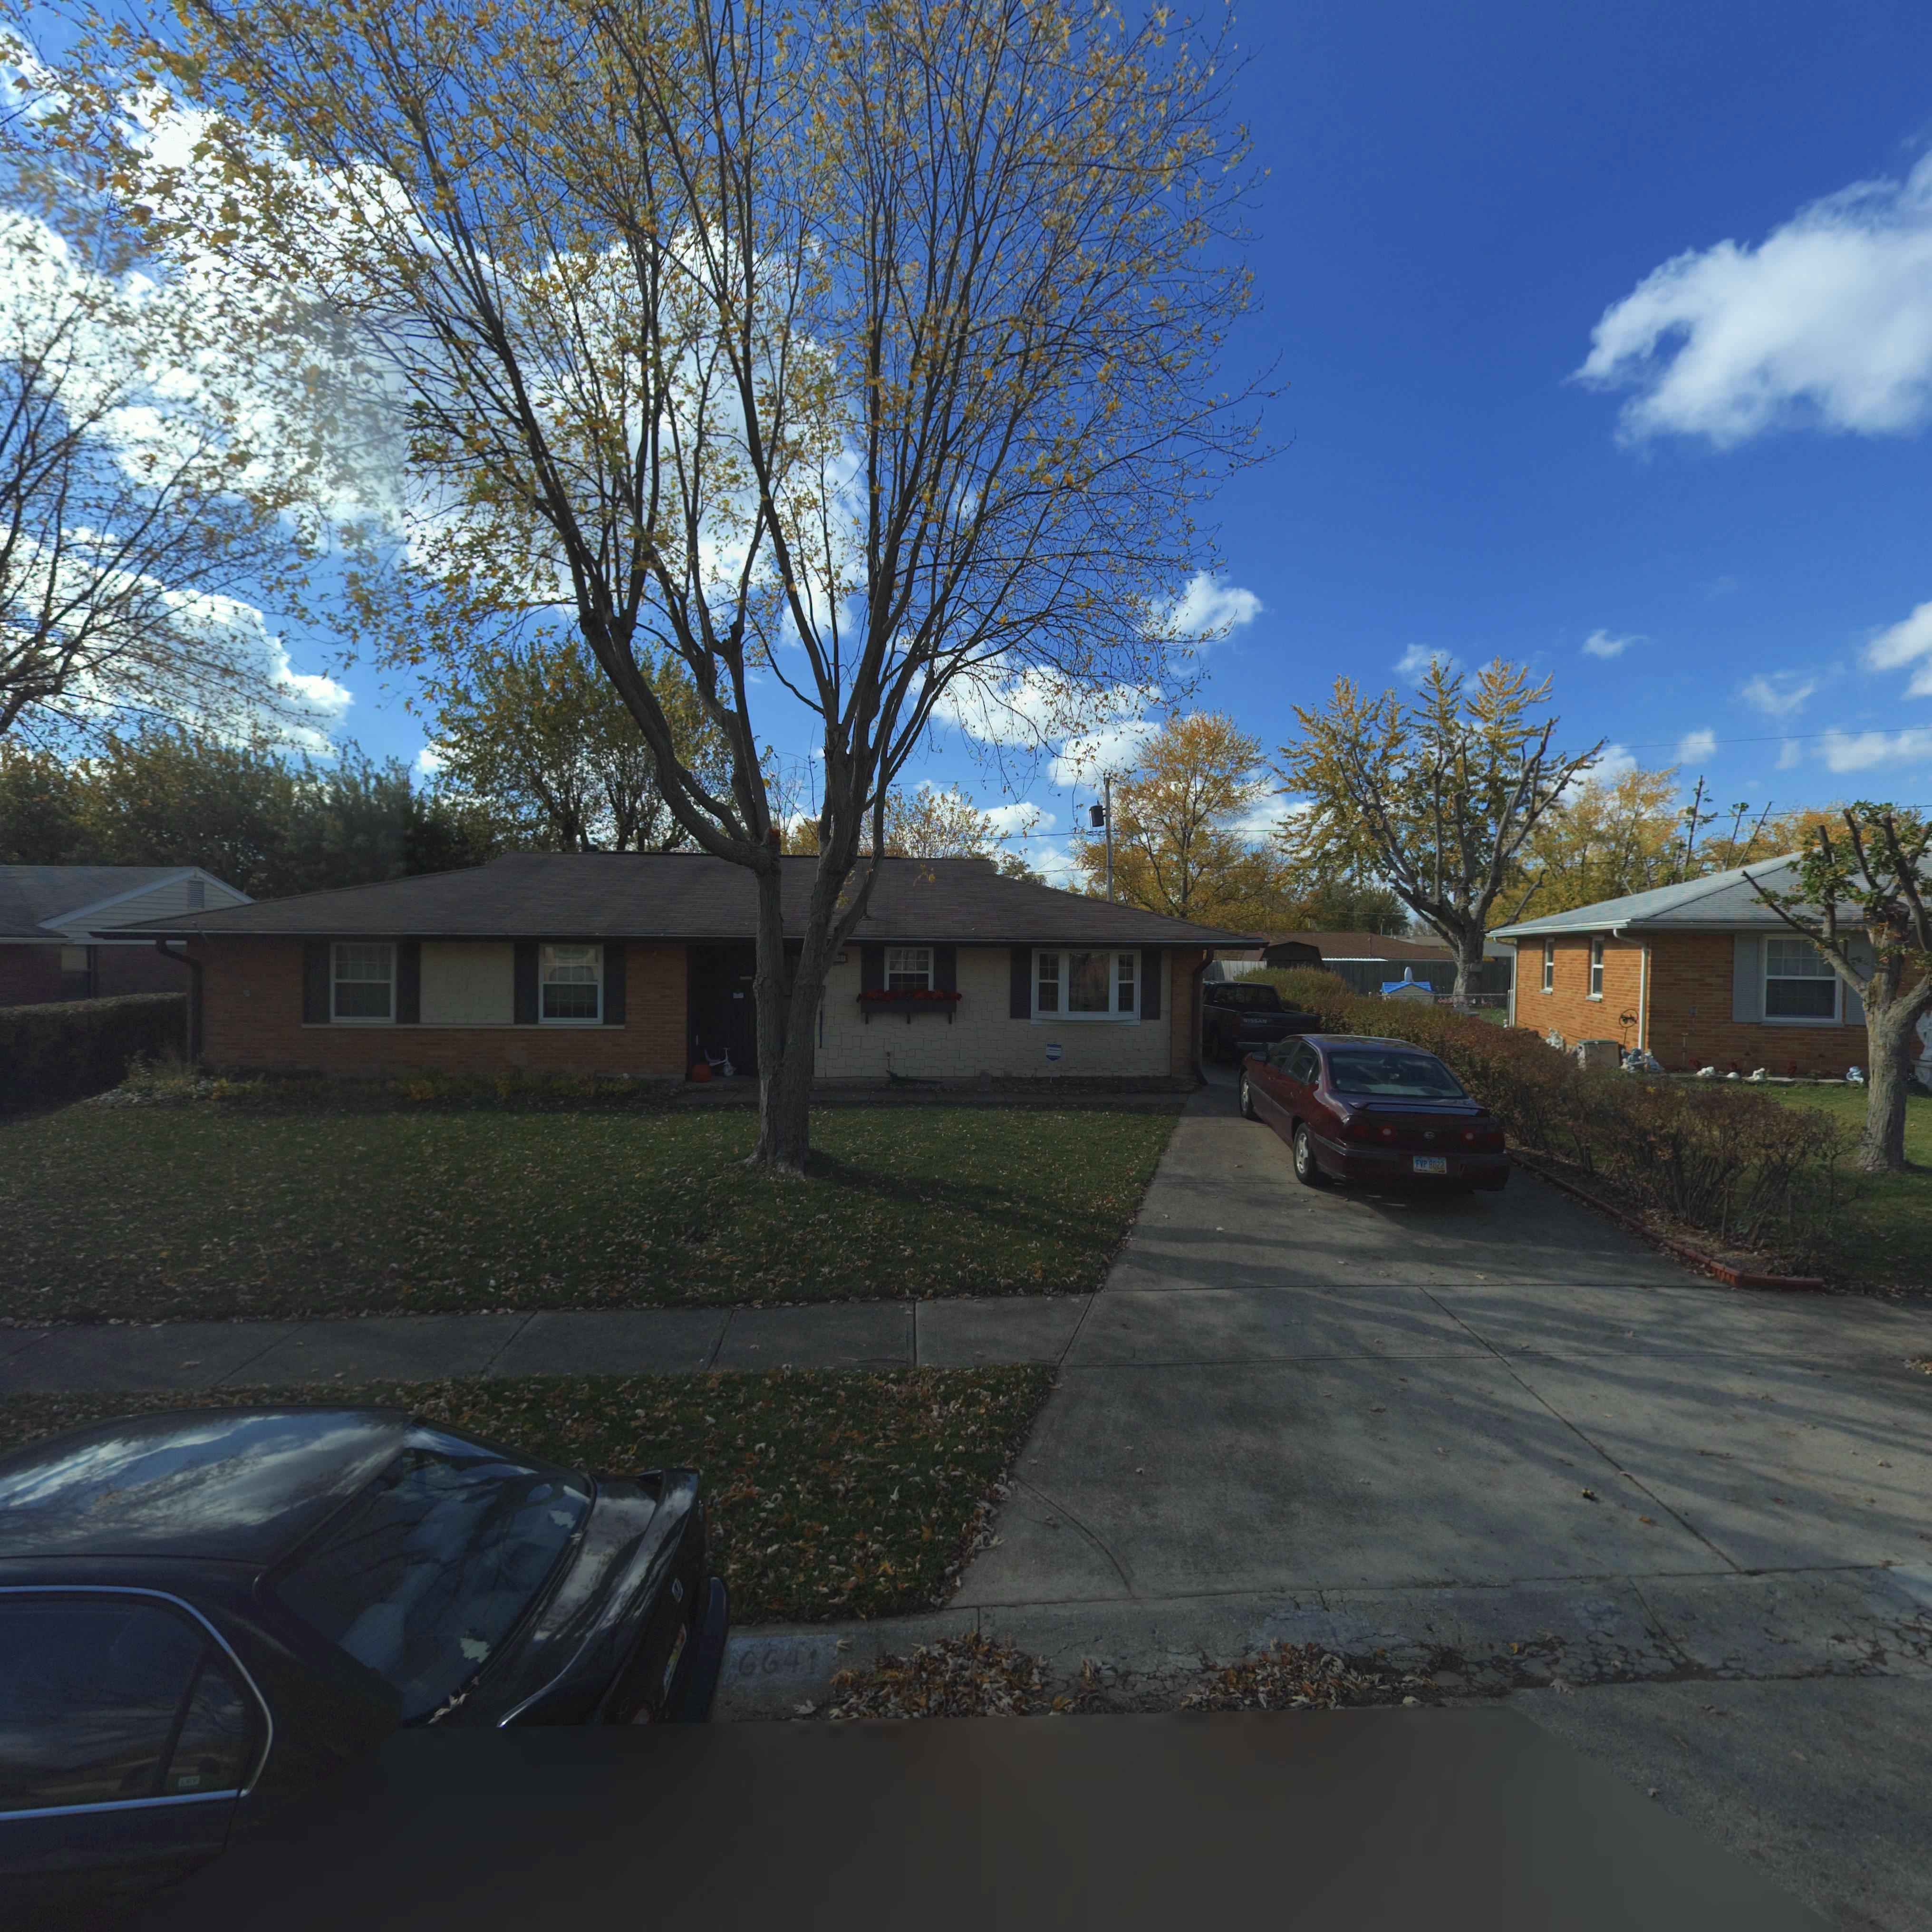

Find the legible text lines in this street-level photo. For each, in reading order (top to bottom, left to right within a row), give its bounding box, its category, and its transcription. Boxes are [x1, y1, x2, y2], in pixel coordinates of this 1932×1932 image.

[835, 955, 843, 962] StreetNumber: 41
[736, 1645, 821, 1678] StreetNumber: 6641